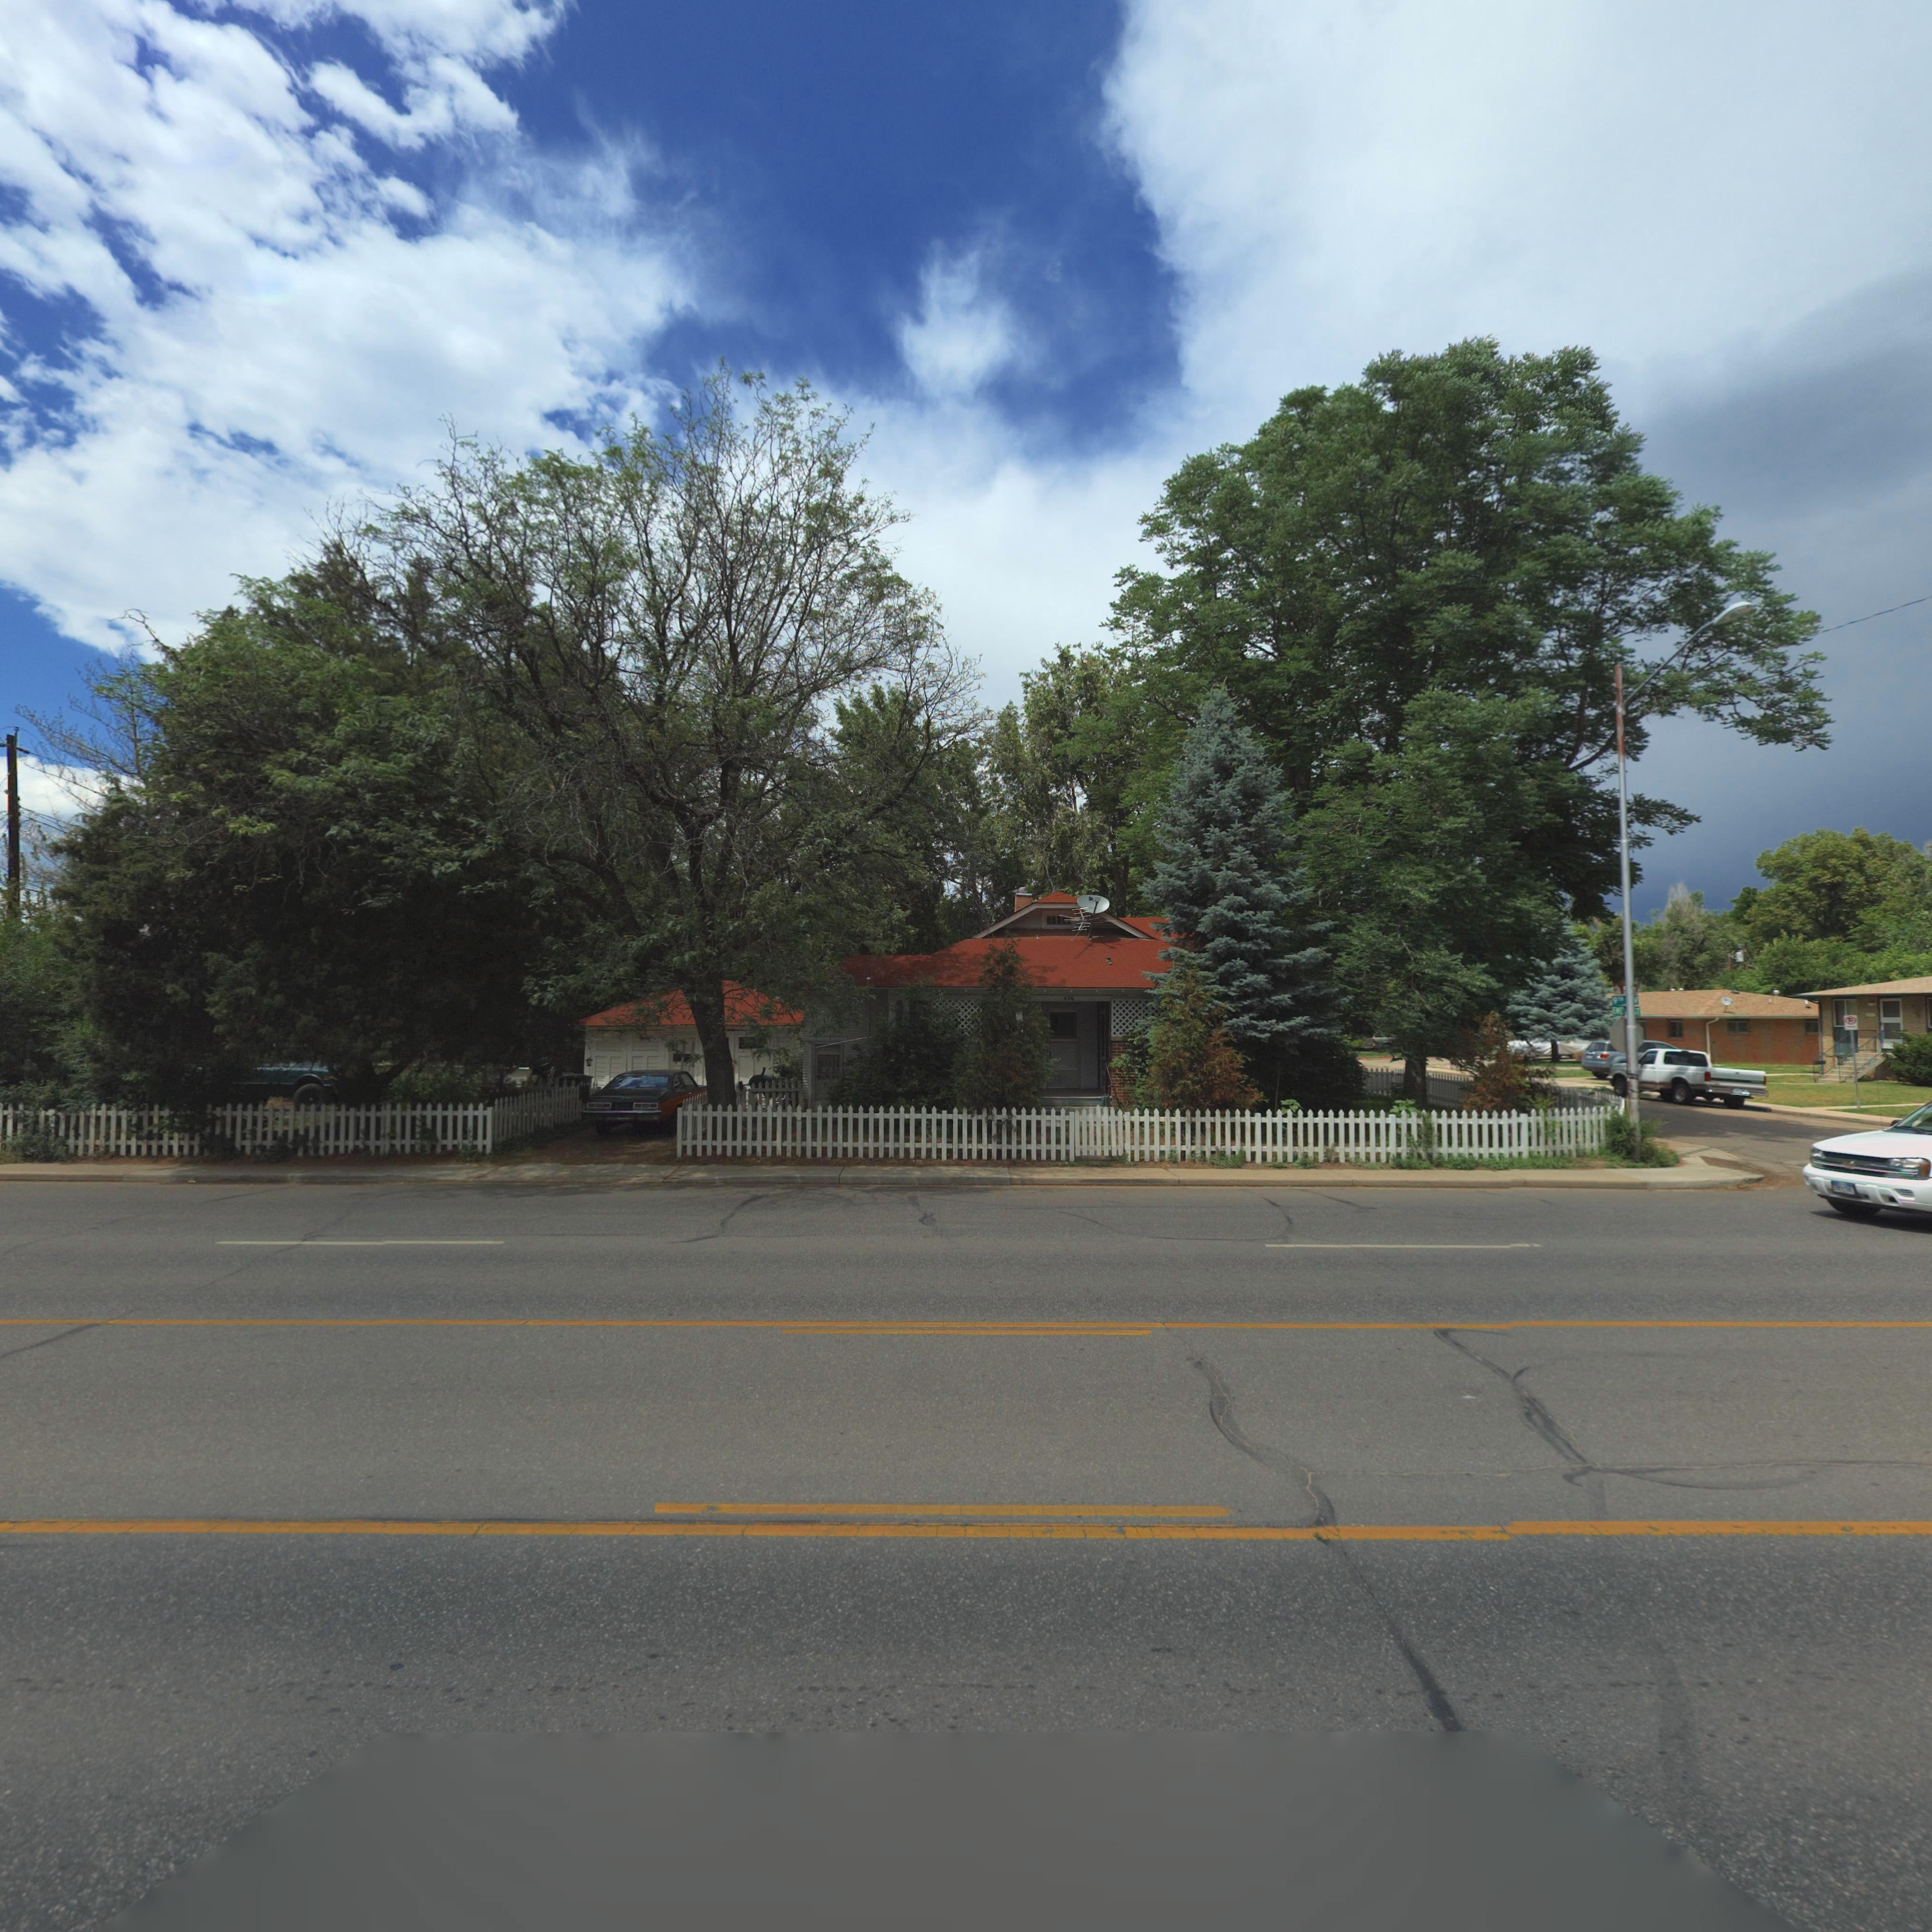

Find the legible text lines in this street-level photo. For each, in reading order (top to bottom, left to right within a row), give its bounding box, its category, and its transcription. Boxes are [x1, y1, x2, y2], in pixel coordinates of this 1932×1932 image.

[1063, 995, 1074, 1000] StreetNumber: 406
[1612, 995, 1639, 1005] StreetName: 9TH *V
[1612, 1006, 1640, 1015] StreetName: EVE** *T